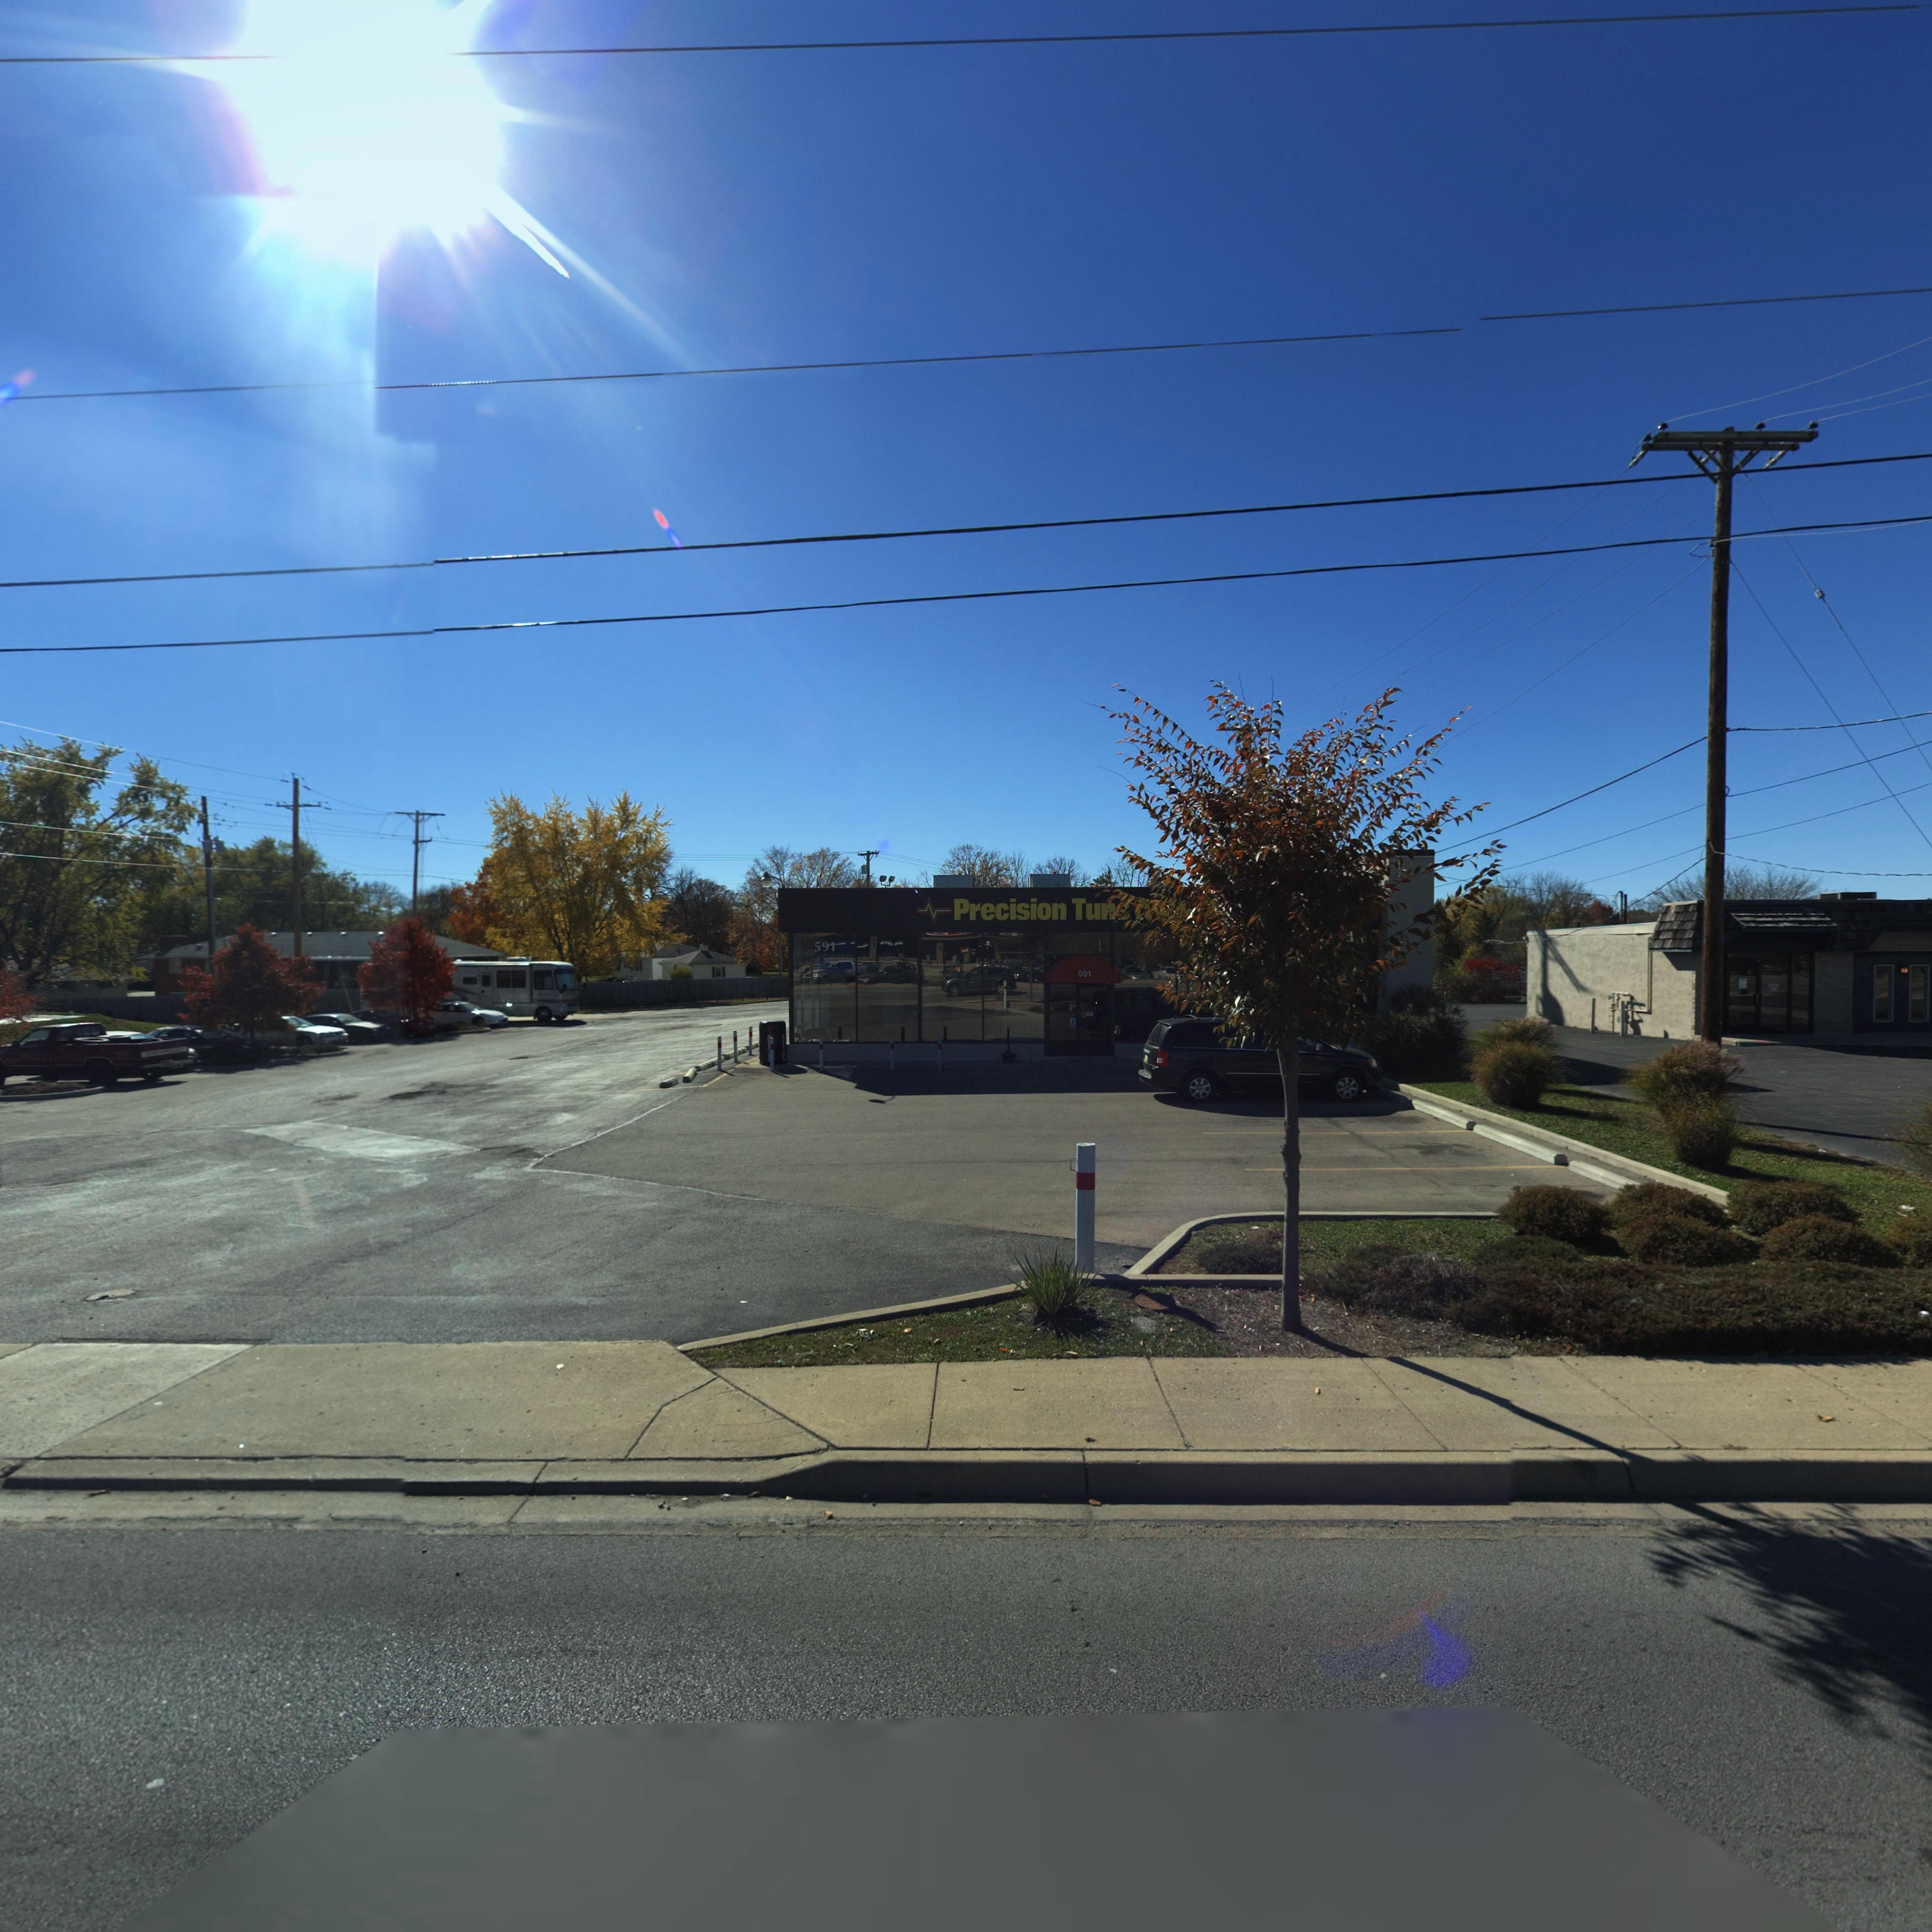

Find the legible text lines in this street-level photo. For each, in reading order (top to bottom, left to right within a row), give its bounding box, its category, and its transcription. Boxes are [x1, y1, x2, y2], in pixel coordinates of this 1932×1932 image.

[953, 897, 1101, 921] BusinessName: Precision Tu
[813, 940, 836, 953] StreetNumber: 591
[1077, 969, 1092, 978] StreetNumber: 591